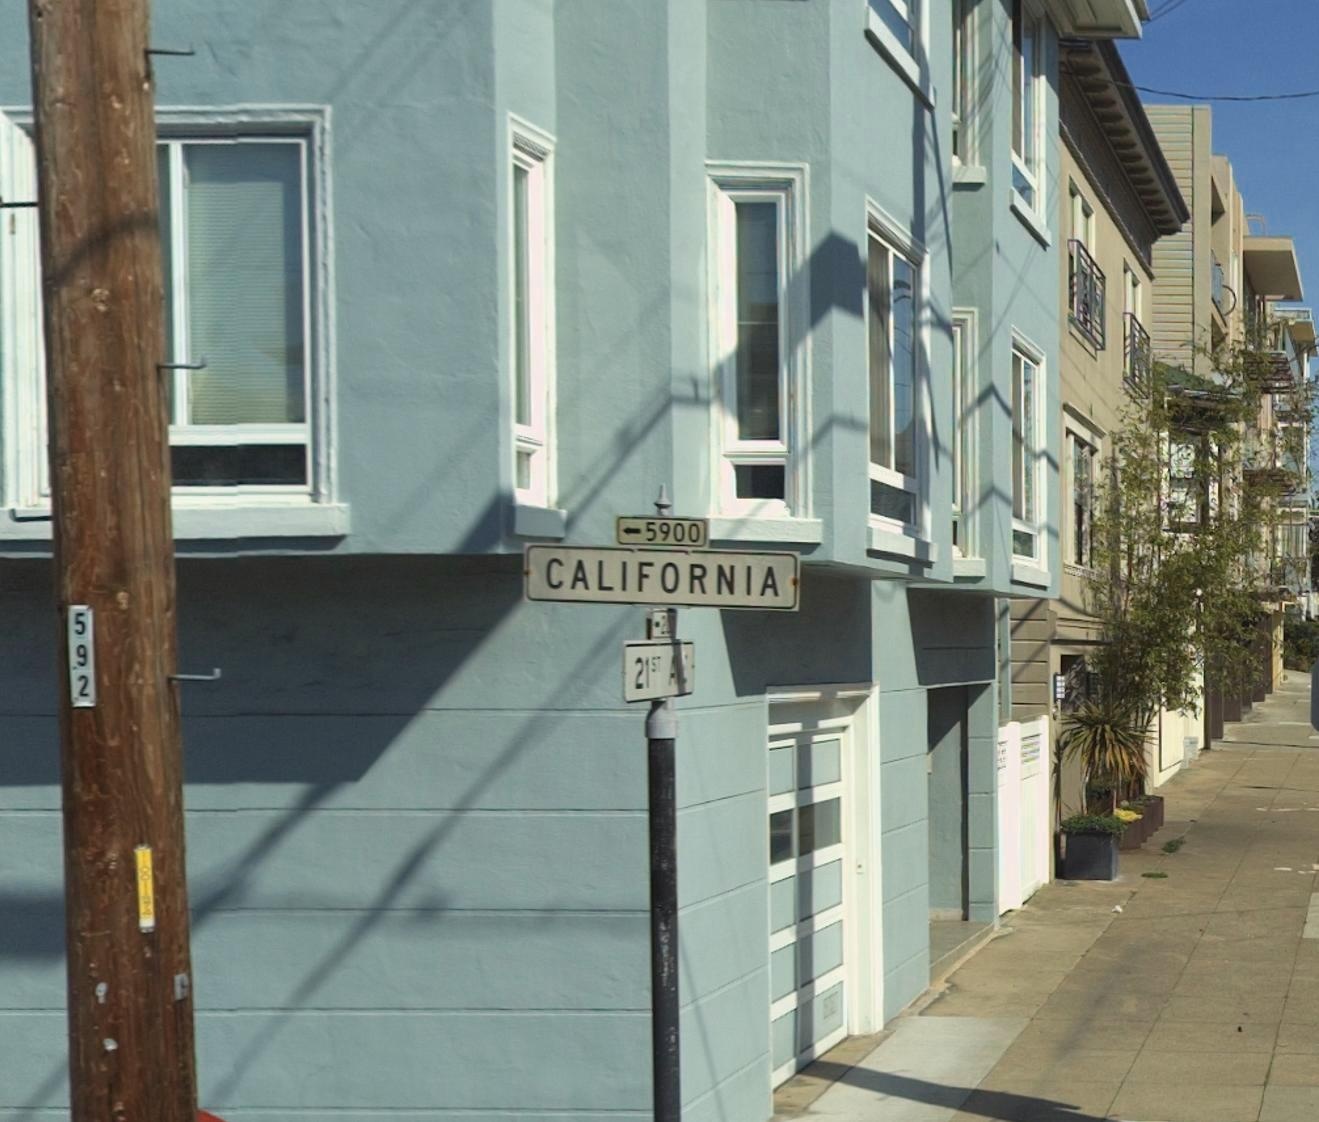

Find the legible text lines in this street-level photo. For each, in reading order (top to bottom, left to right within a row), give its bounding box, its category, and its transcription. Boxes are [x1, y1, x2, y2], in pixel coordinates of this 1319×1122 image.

[619, 517, 703, 545] StreetNumberRange: <-5900
[541, 551, 781, 600] StreetName: CALIFORNIA
[652, 609, 676, 637] StreetNumberRange: <-20*
[67, 602, 98, 705] None: 592
[627, 652, 695, 692] StreetName: 21ST AVE